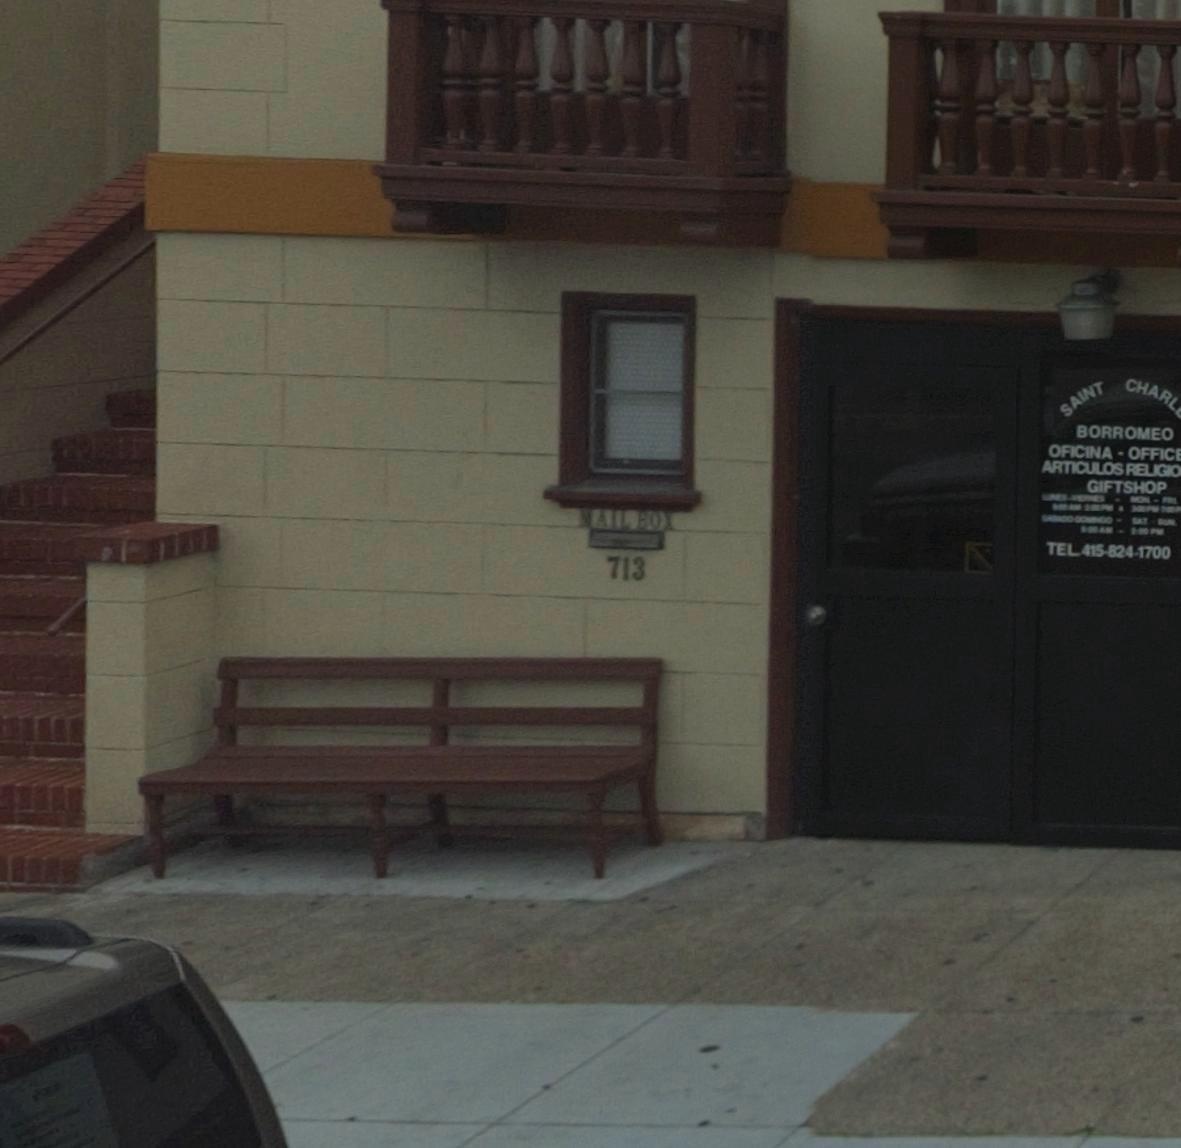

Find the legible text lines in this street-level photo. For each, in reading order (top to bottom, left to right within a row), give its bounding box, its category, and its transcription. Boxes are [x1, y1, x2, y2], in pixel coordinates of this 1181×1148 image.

[1056, 379, 1106, 419] None: SAINT
[1124, 376, 1180, 412] None: CHARL
[1074, 422, 1176, 442] None: BORROMEO
[1046, 442, 1177, 462] None: OFICINA - OFFIC
[1039, 457, 1173, 478] None: ARTICULOS RELIGI
[1086, 478, 1170, 496] None: GIFTSHOP
[577, 507, 678, 532] None: MAIL BOX
[1044, 540, 1173, 560] None: TEL 415-824-1700
[605, 554, 648, 582] StreetNumber: 713